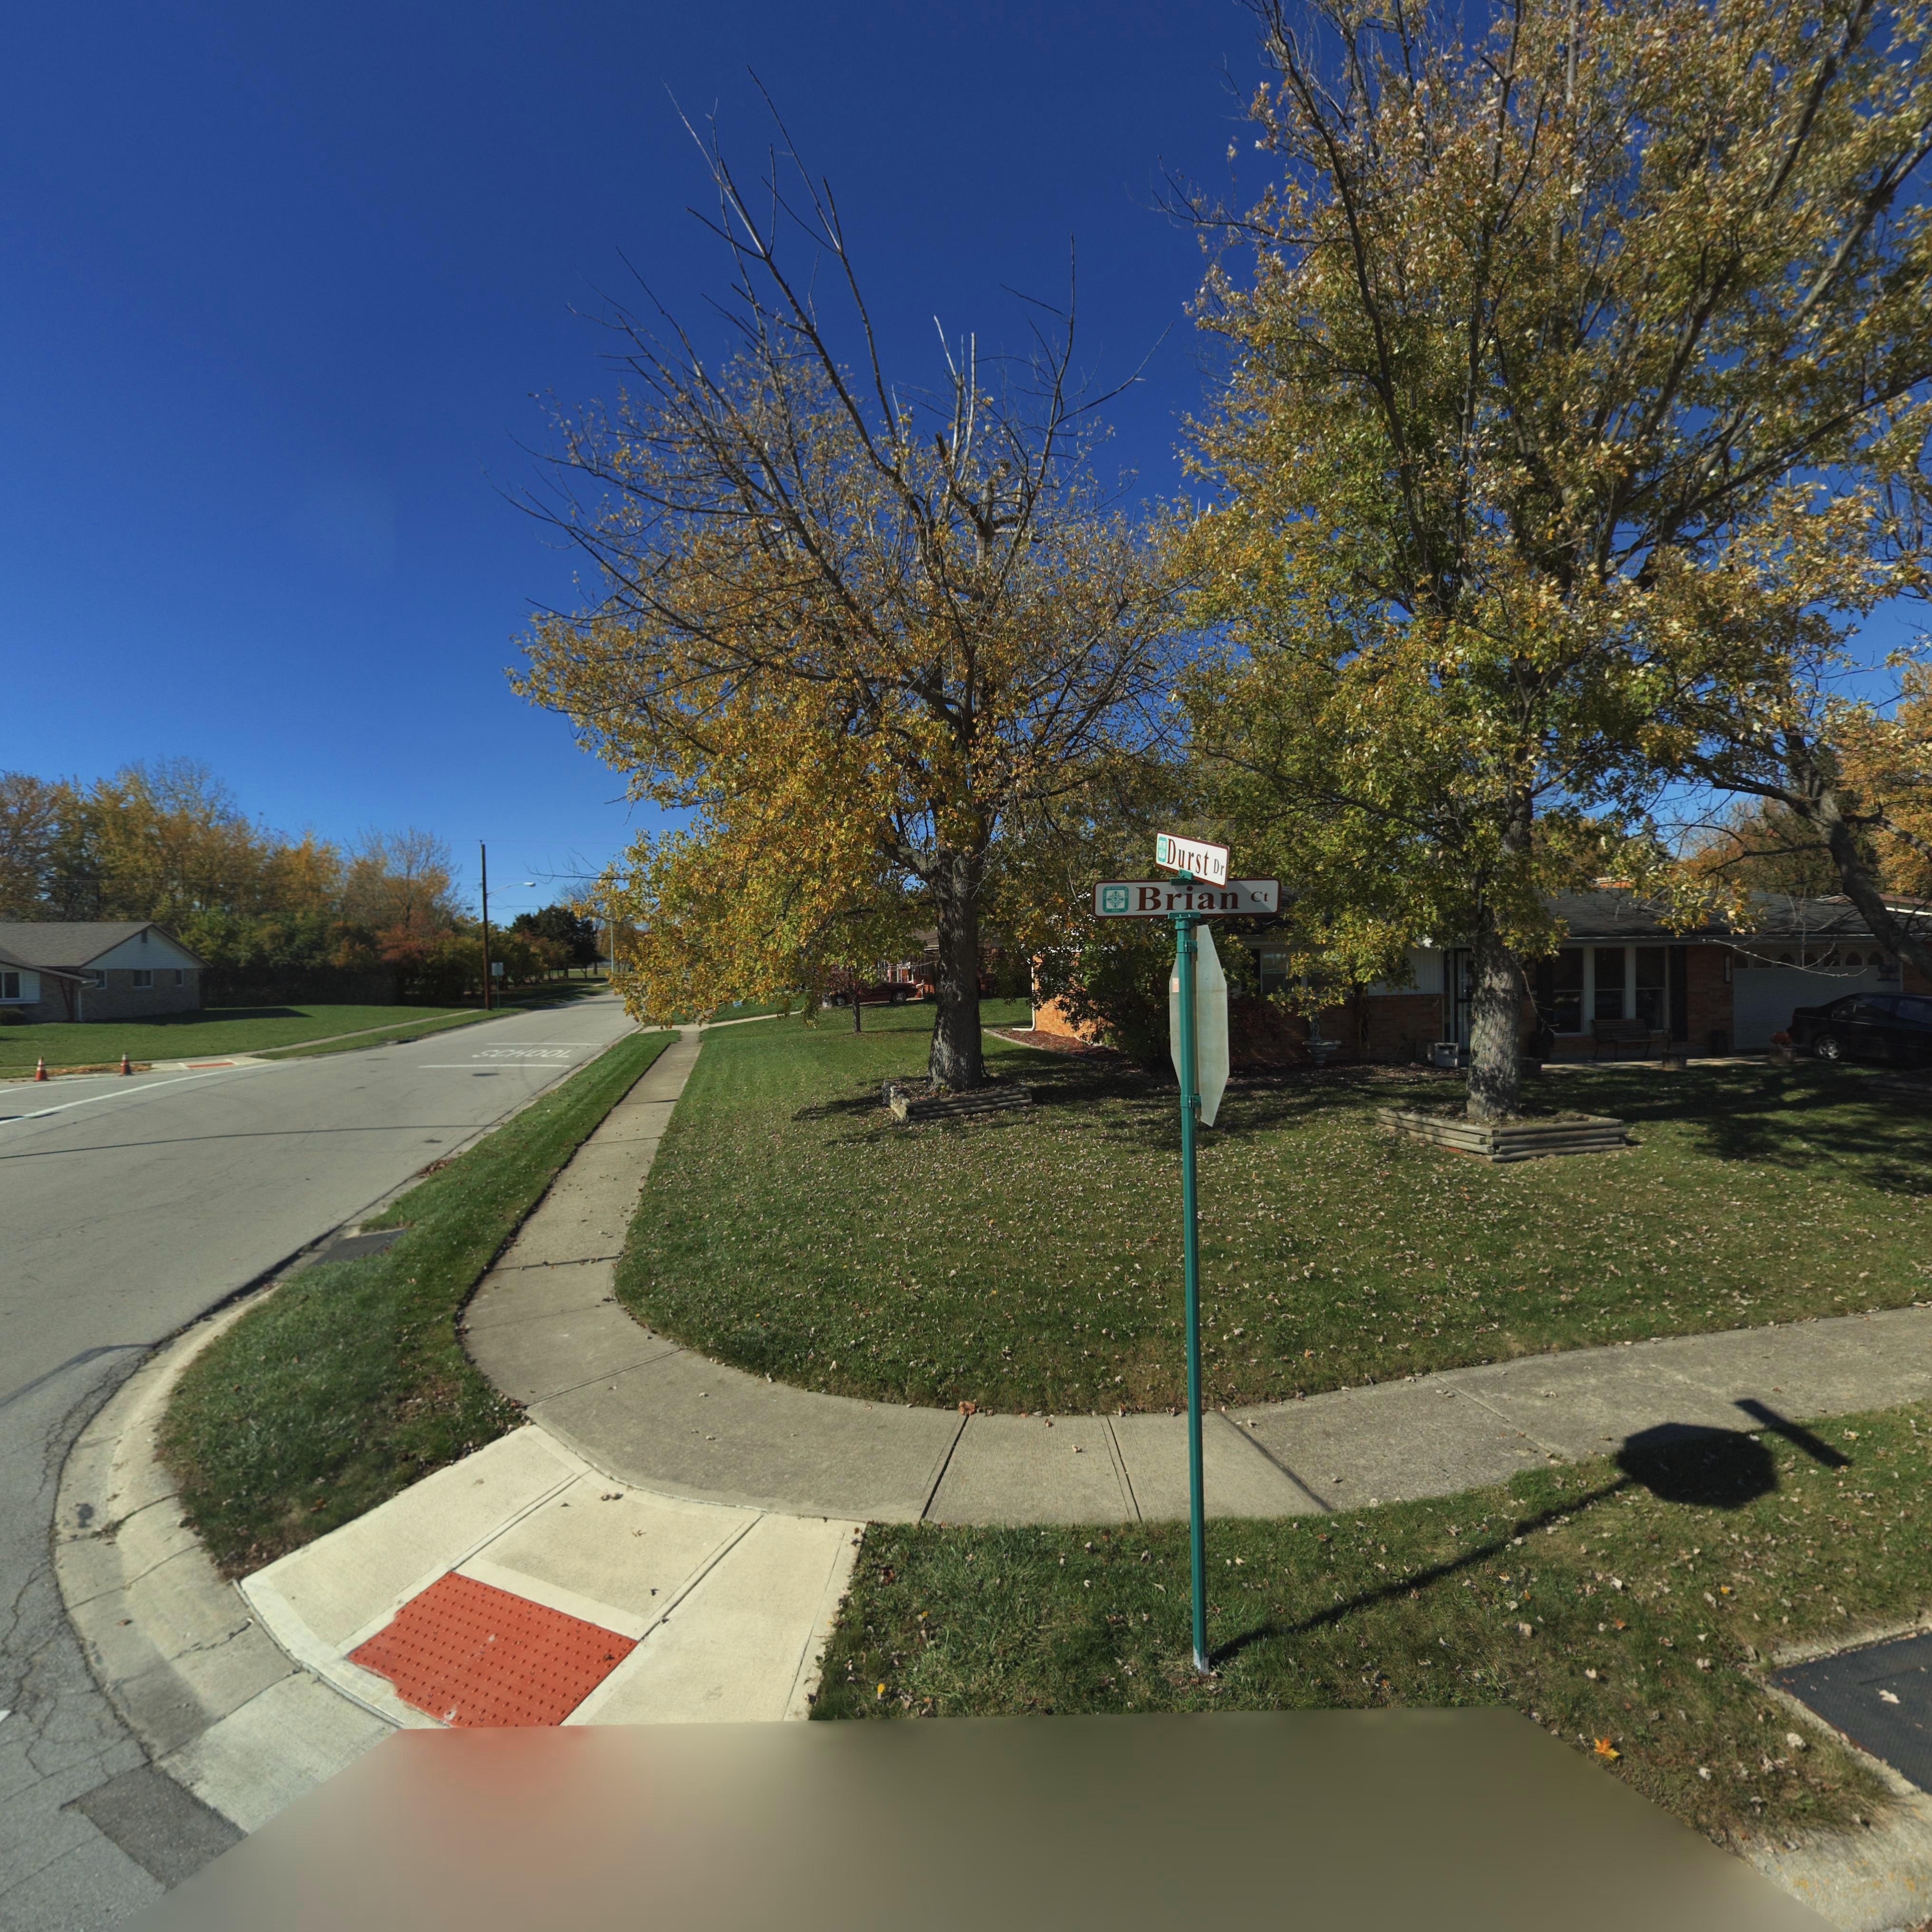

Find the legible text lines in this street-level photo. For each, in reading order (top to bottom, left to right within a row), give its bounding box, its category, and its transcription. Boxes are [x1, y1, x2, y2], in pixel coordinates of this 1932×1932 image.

[1165, 836, 1226, 877] StreetName: Durst Dr
[1134, 884, 1270, 912] StreetName: Brian Ct
[1726, 959, 1730, 981] StreetNumber: 1012